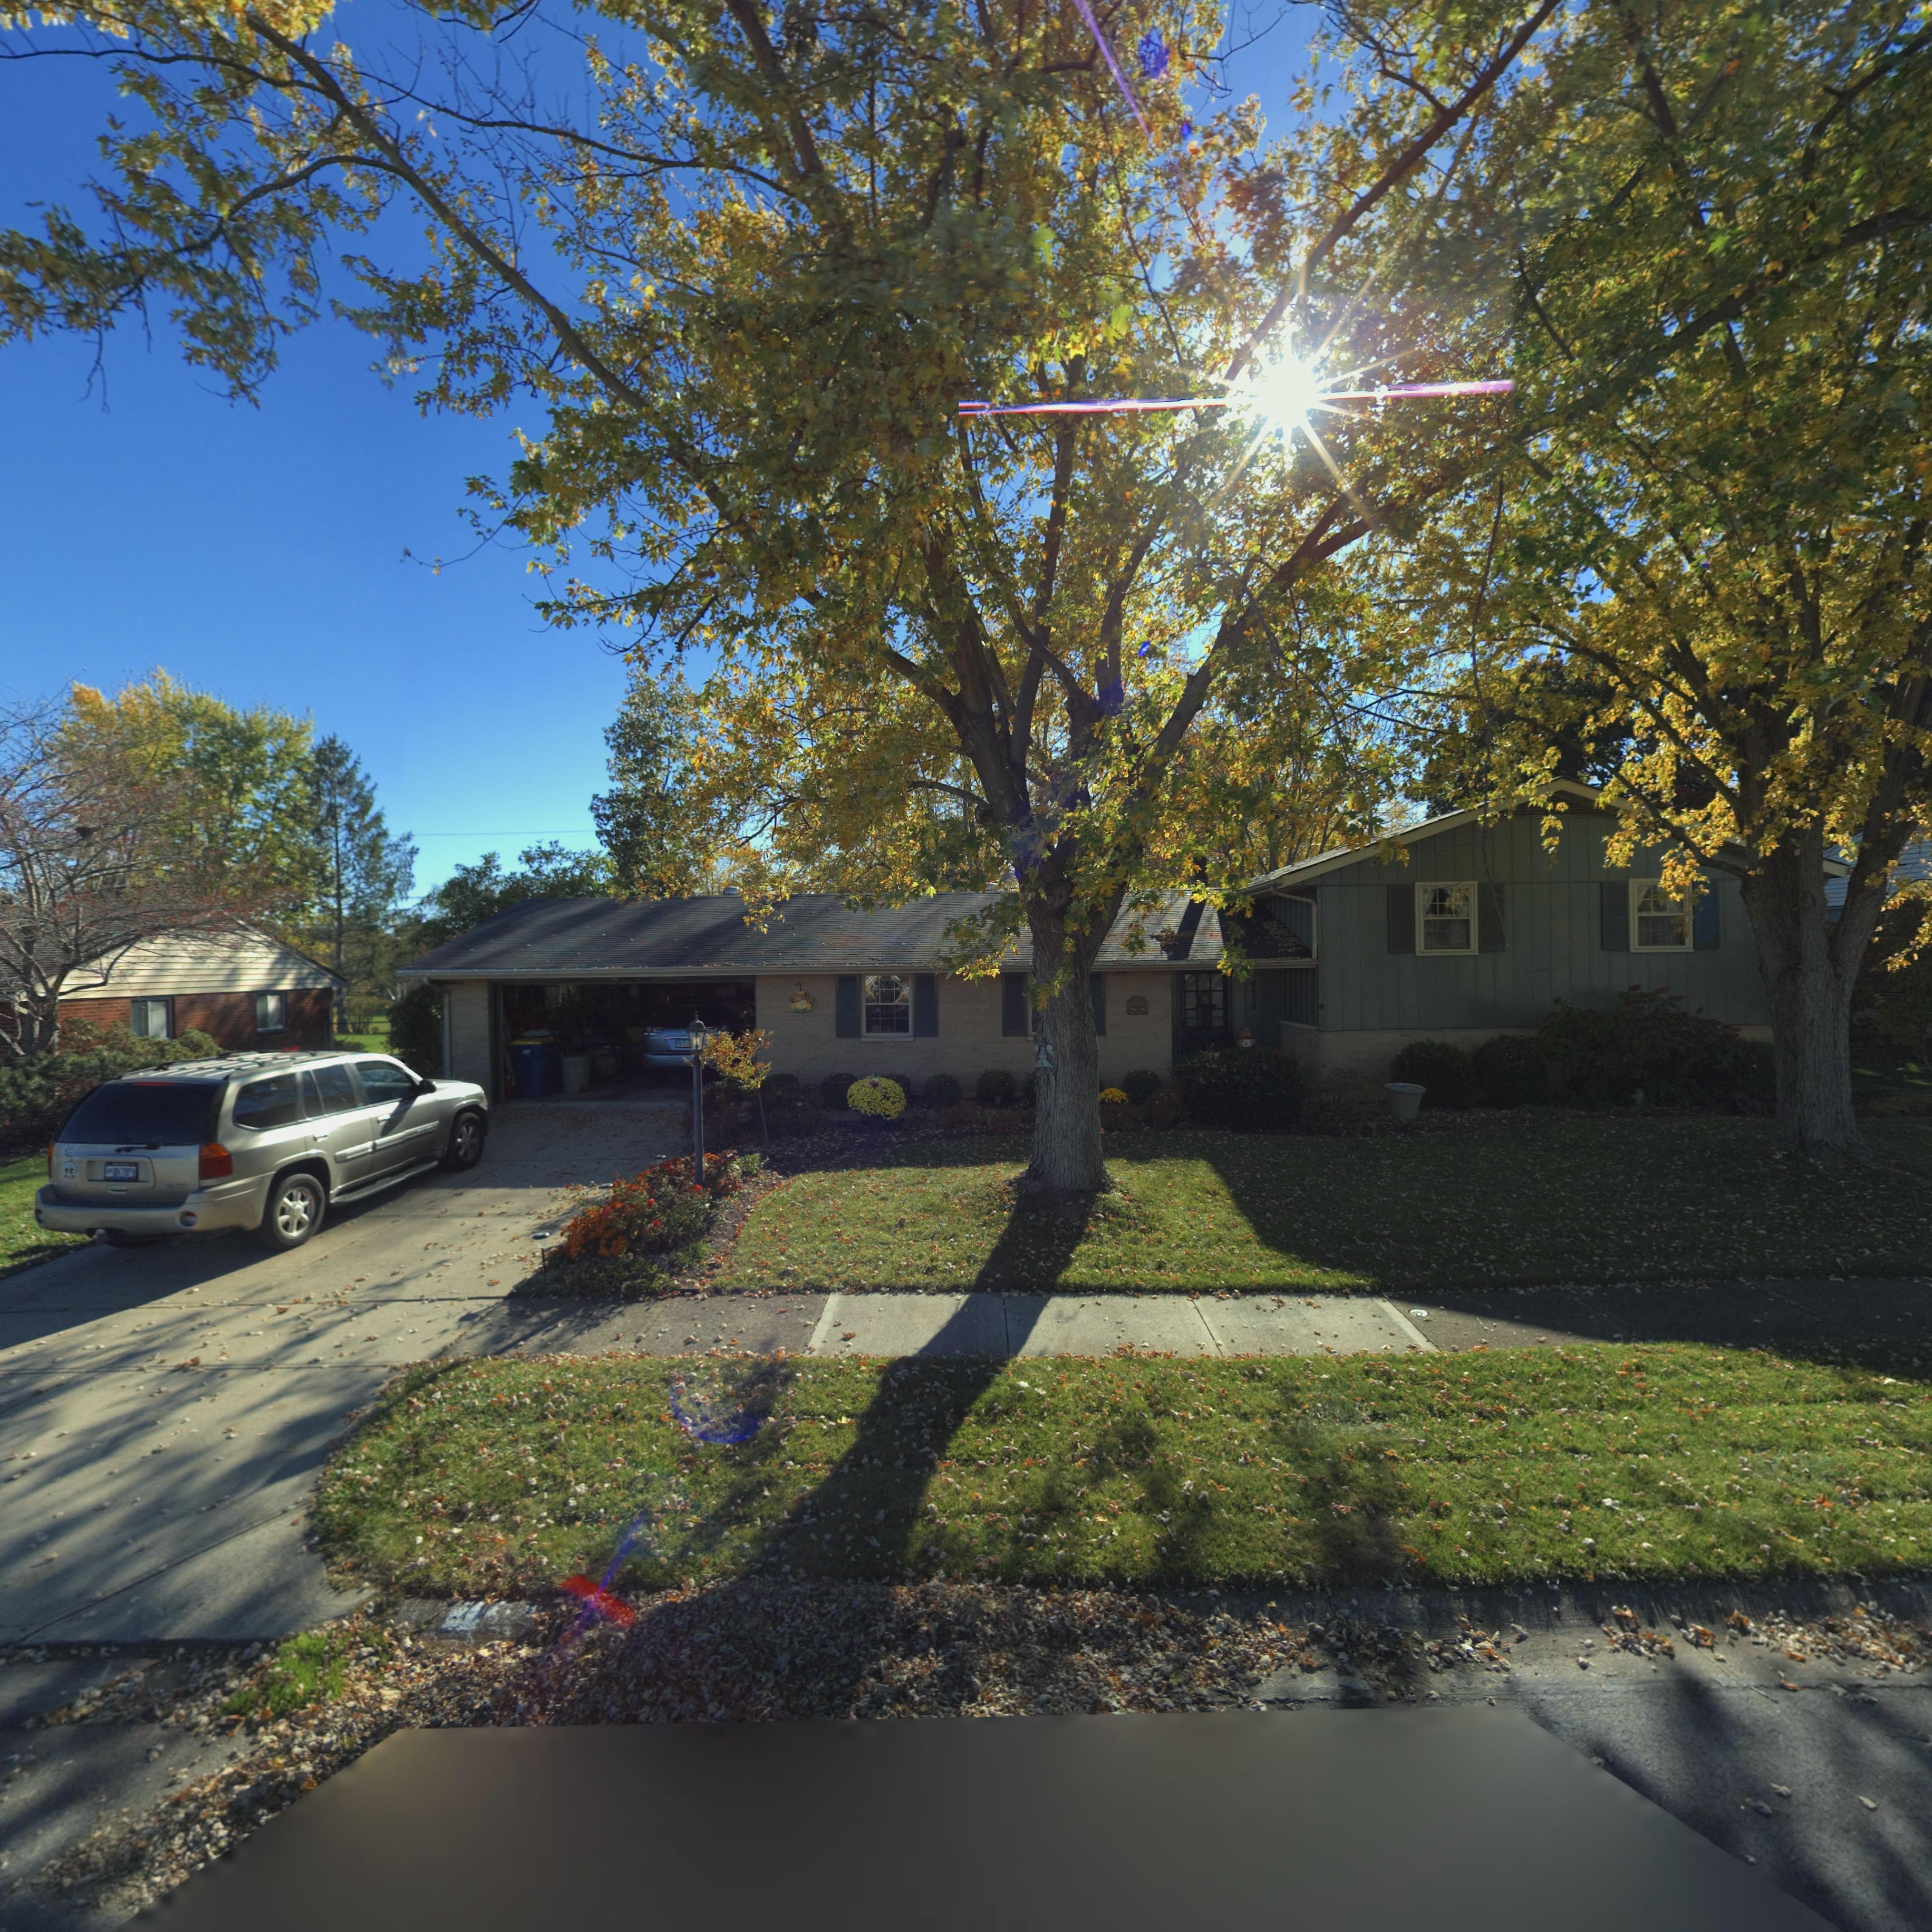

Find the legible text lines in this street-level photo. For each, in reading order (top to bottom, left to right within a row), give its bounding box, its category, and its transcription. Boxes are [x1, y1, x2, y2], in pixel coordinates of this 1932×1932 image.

[1250, 979, 1257, 1010] StreetNumber: 4412
[120, 1166, 129, 1177] None: 79
[164, 1183, 186, 1189] None: GMC